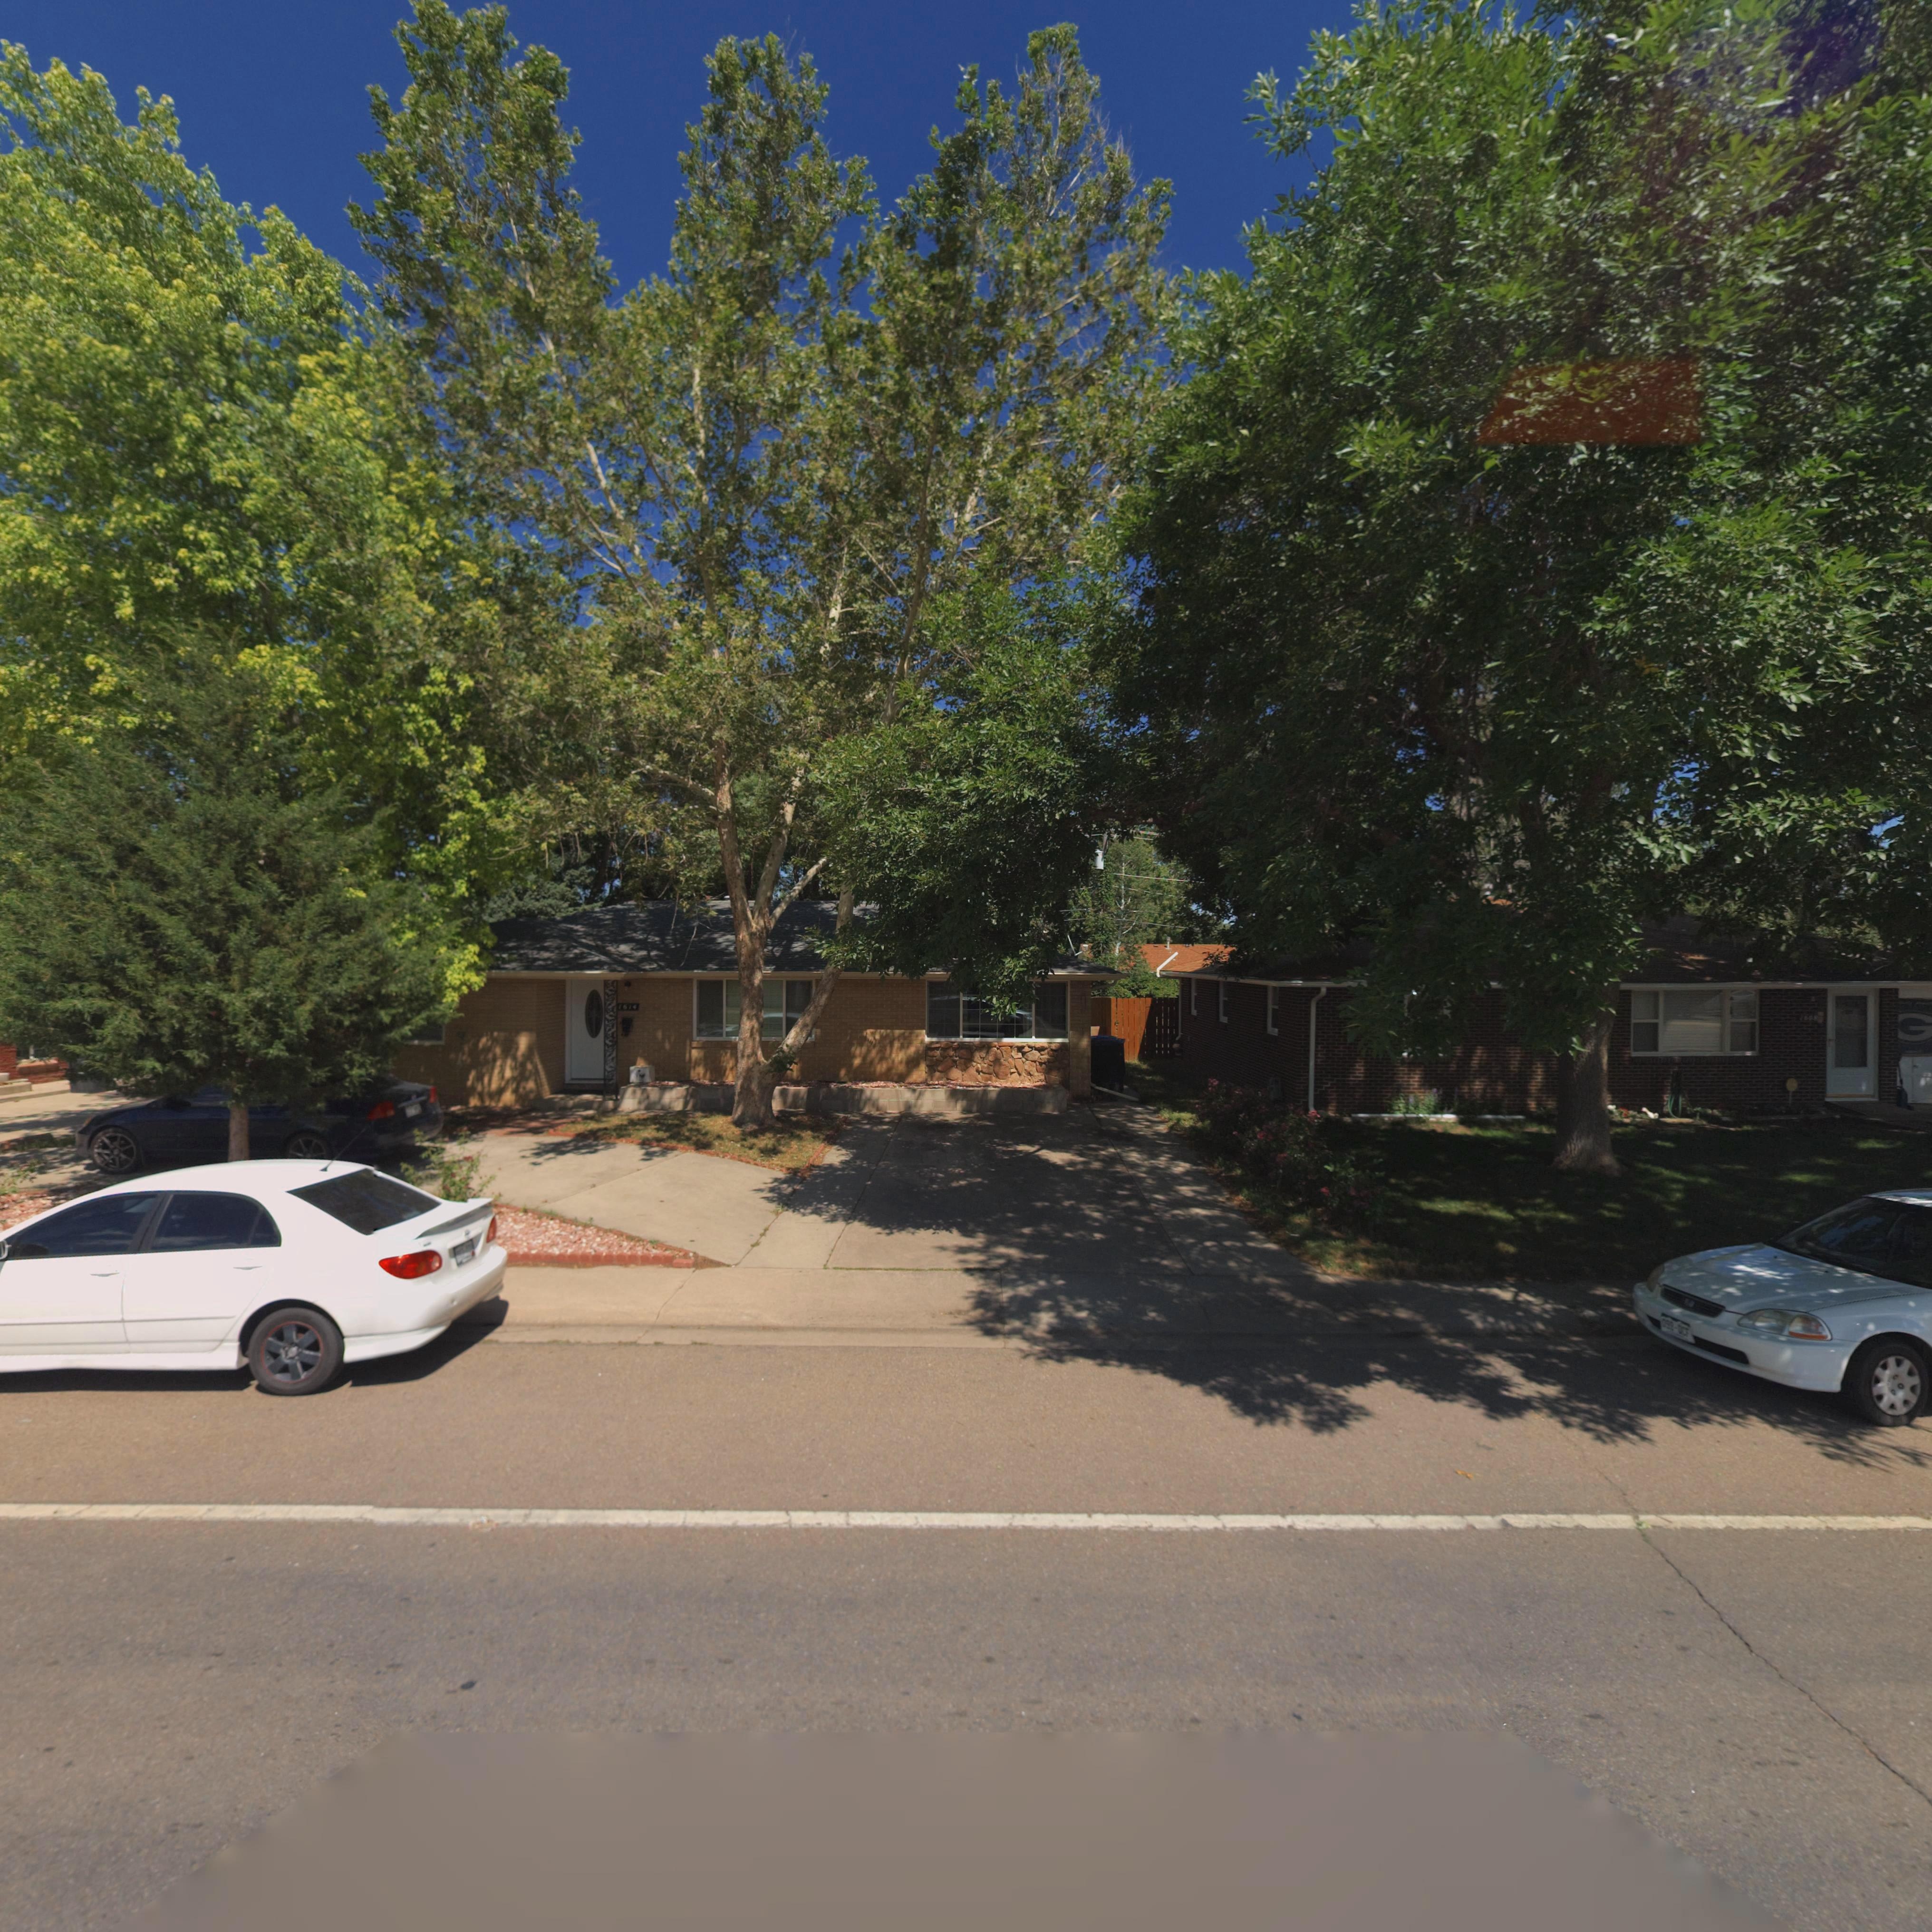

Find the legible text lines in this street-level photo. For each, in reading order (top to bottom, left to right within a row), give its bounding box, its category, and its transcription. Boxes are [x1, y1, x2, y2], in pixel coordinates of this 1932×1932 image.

[618, 1003, 638, 1010] StreetNumber: 1614
[1798, 1014, 1819, 1021] StreetNumber: 16**